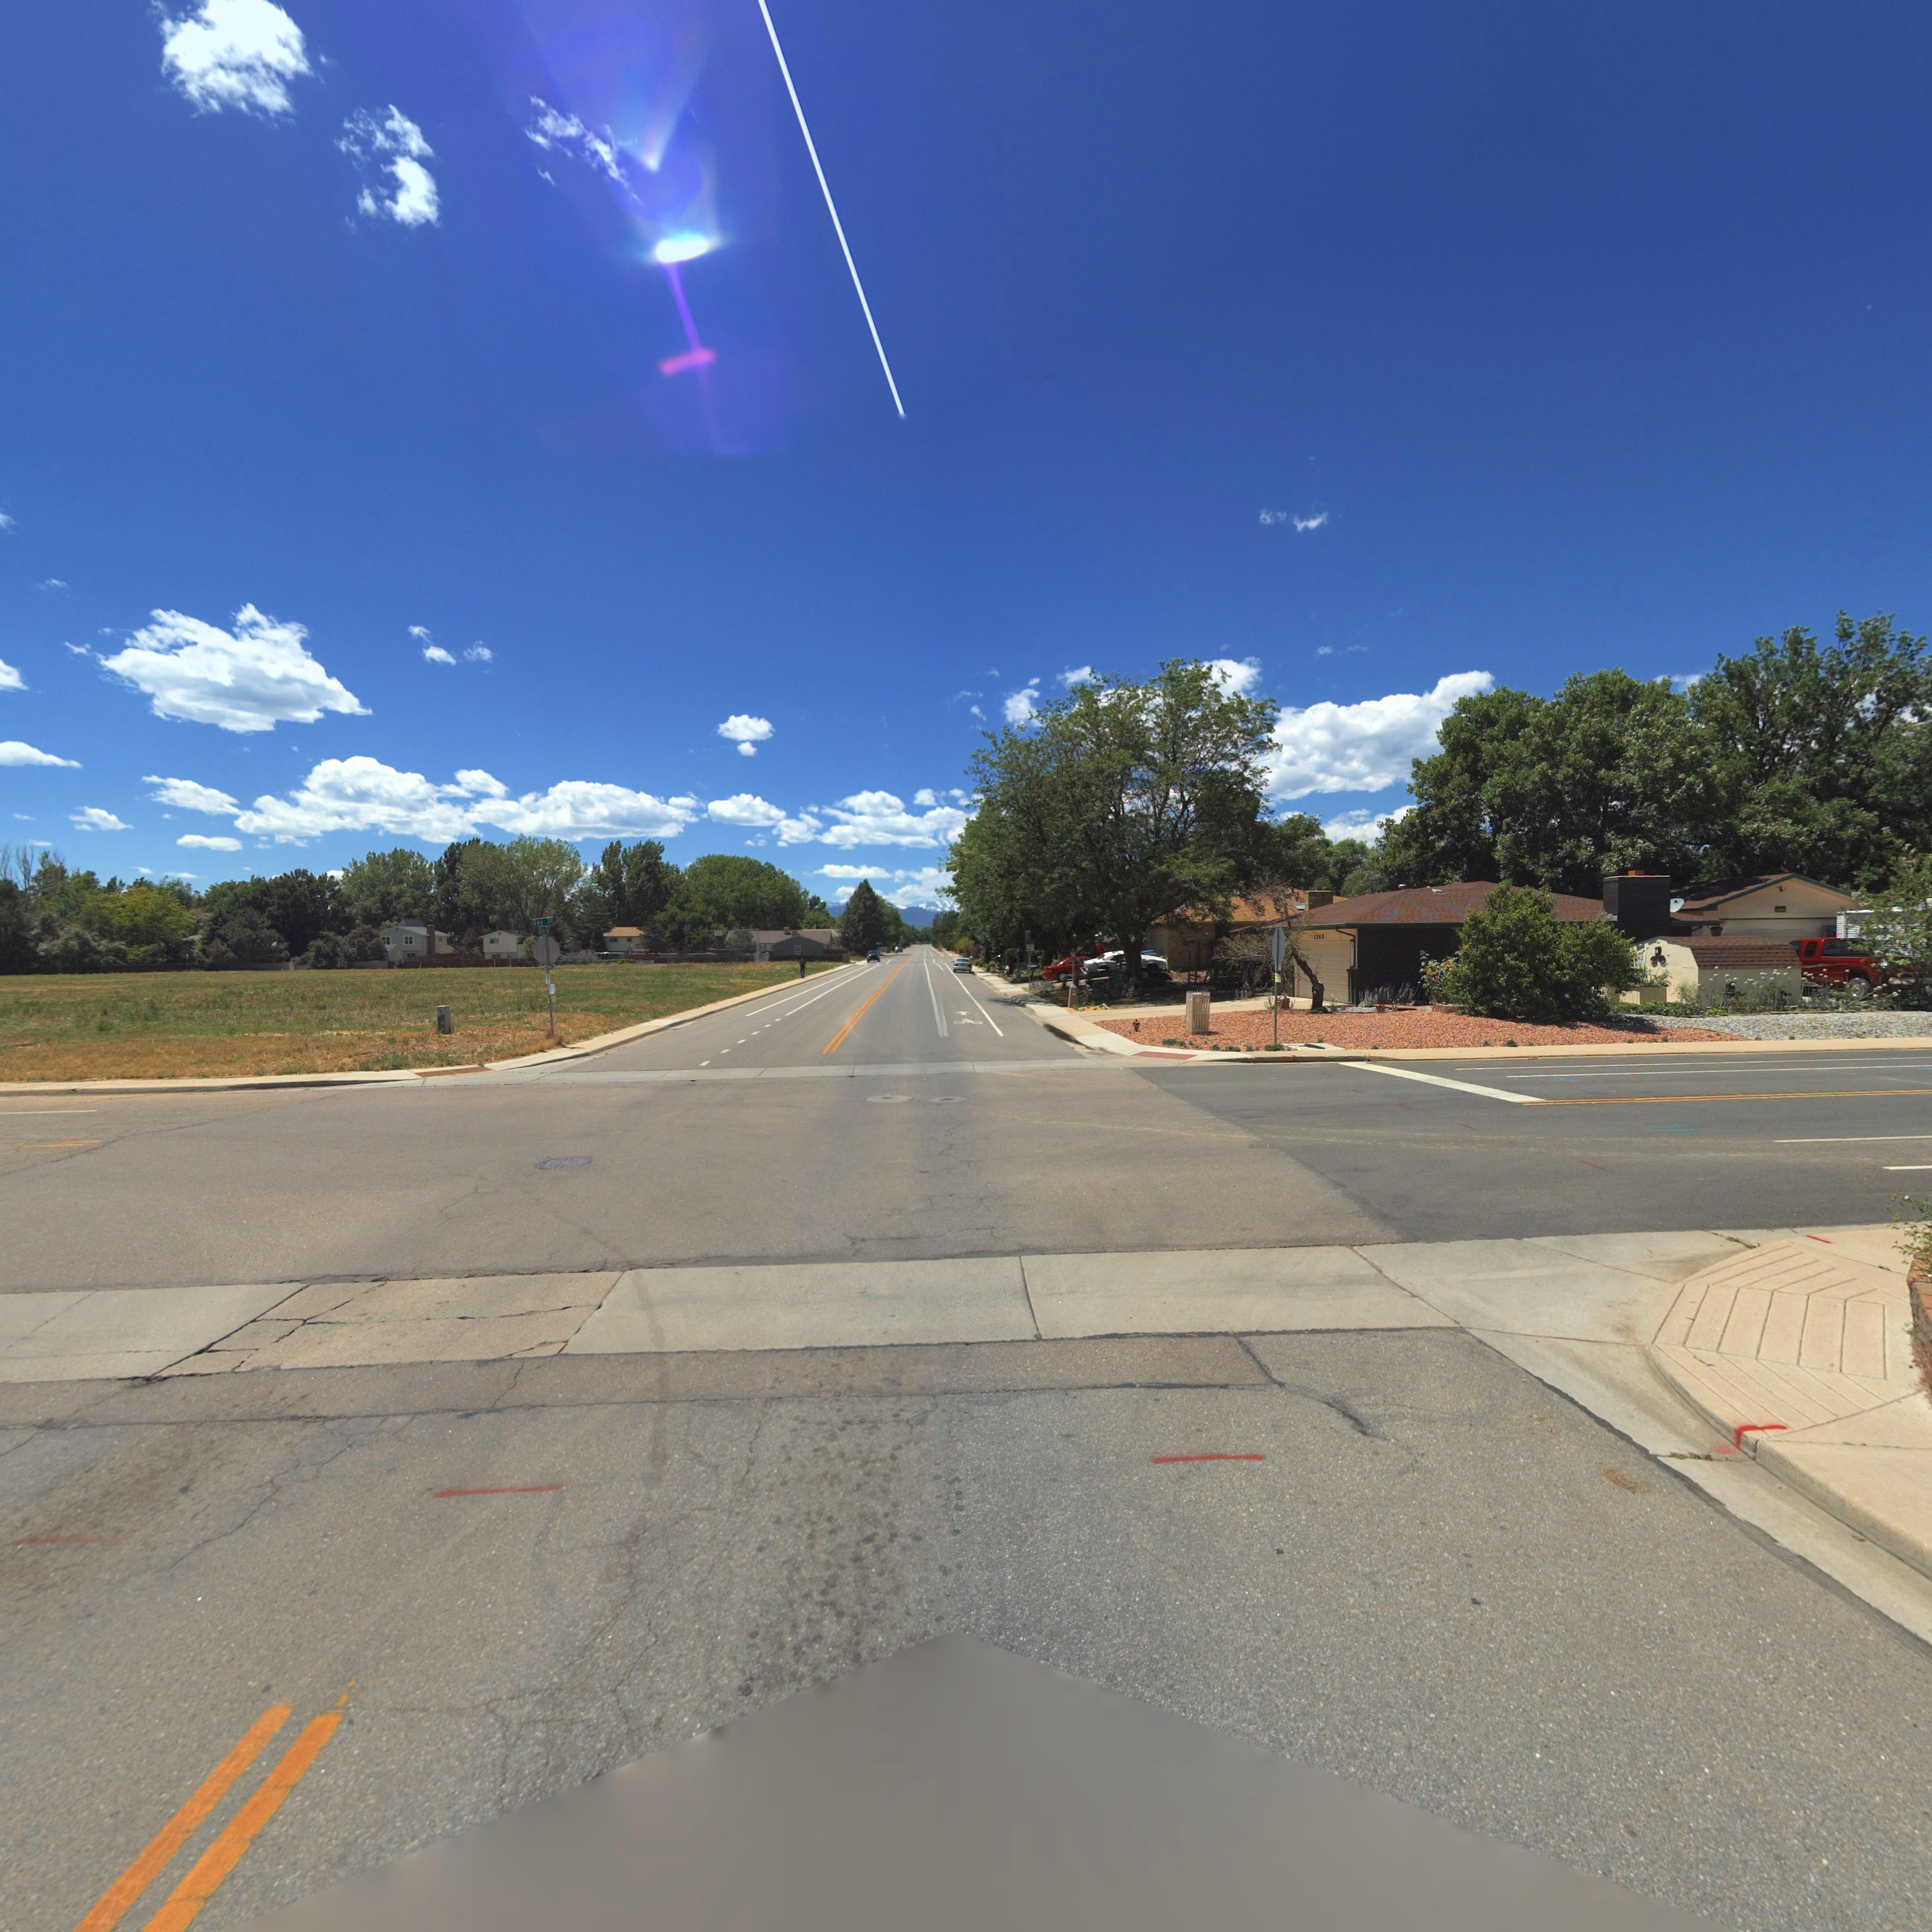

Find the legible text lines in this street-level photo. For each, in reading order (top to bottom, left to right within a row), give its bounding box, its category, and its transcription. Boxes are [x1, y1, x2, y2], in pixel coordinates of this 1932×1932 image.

[533, 917, 554, 926] StreetName: Gay St
[1314, 934, 1324, 939] StreetNumber: 1300